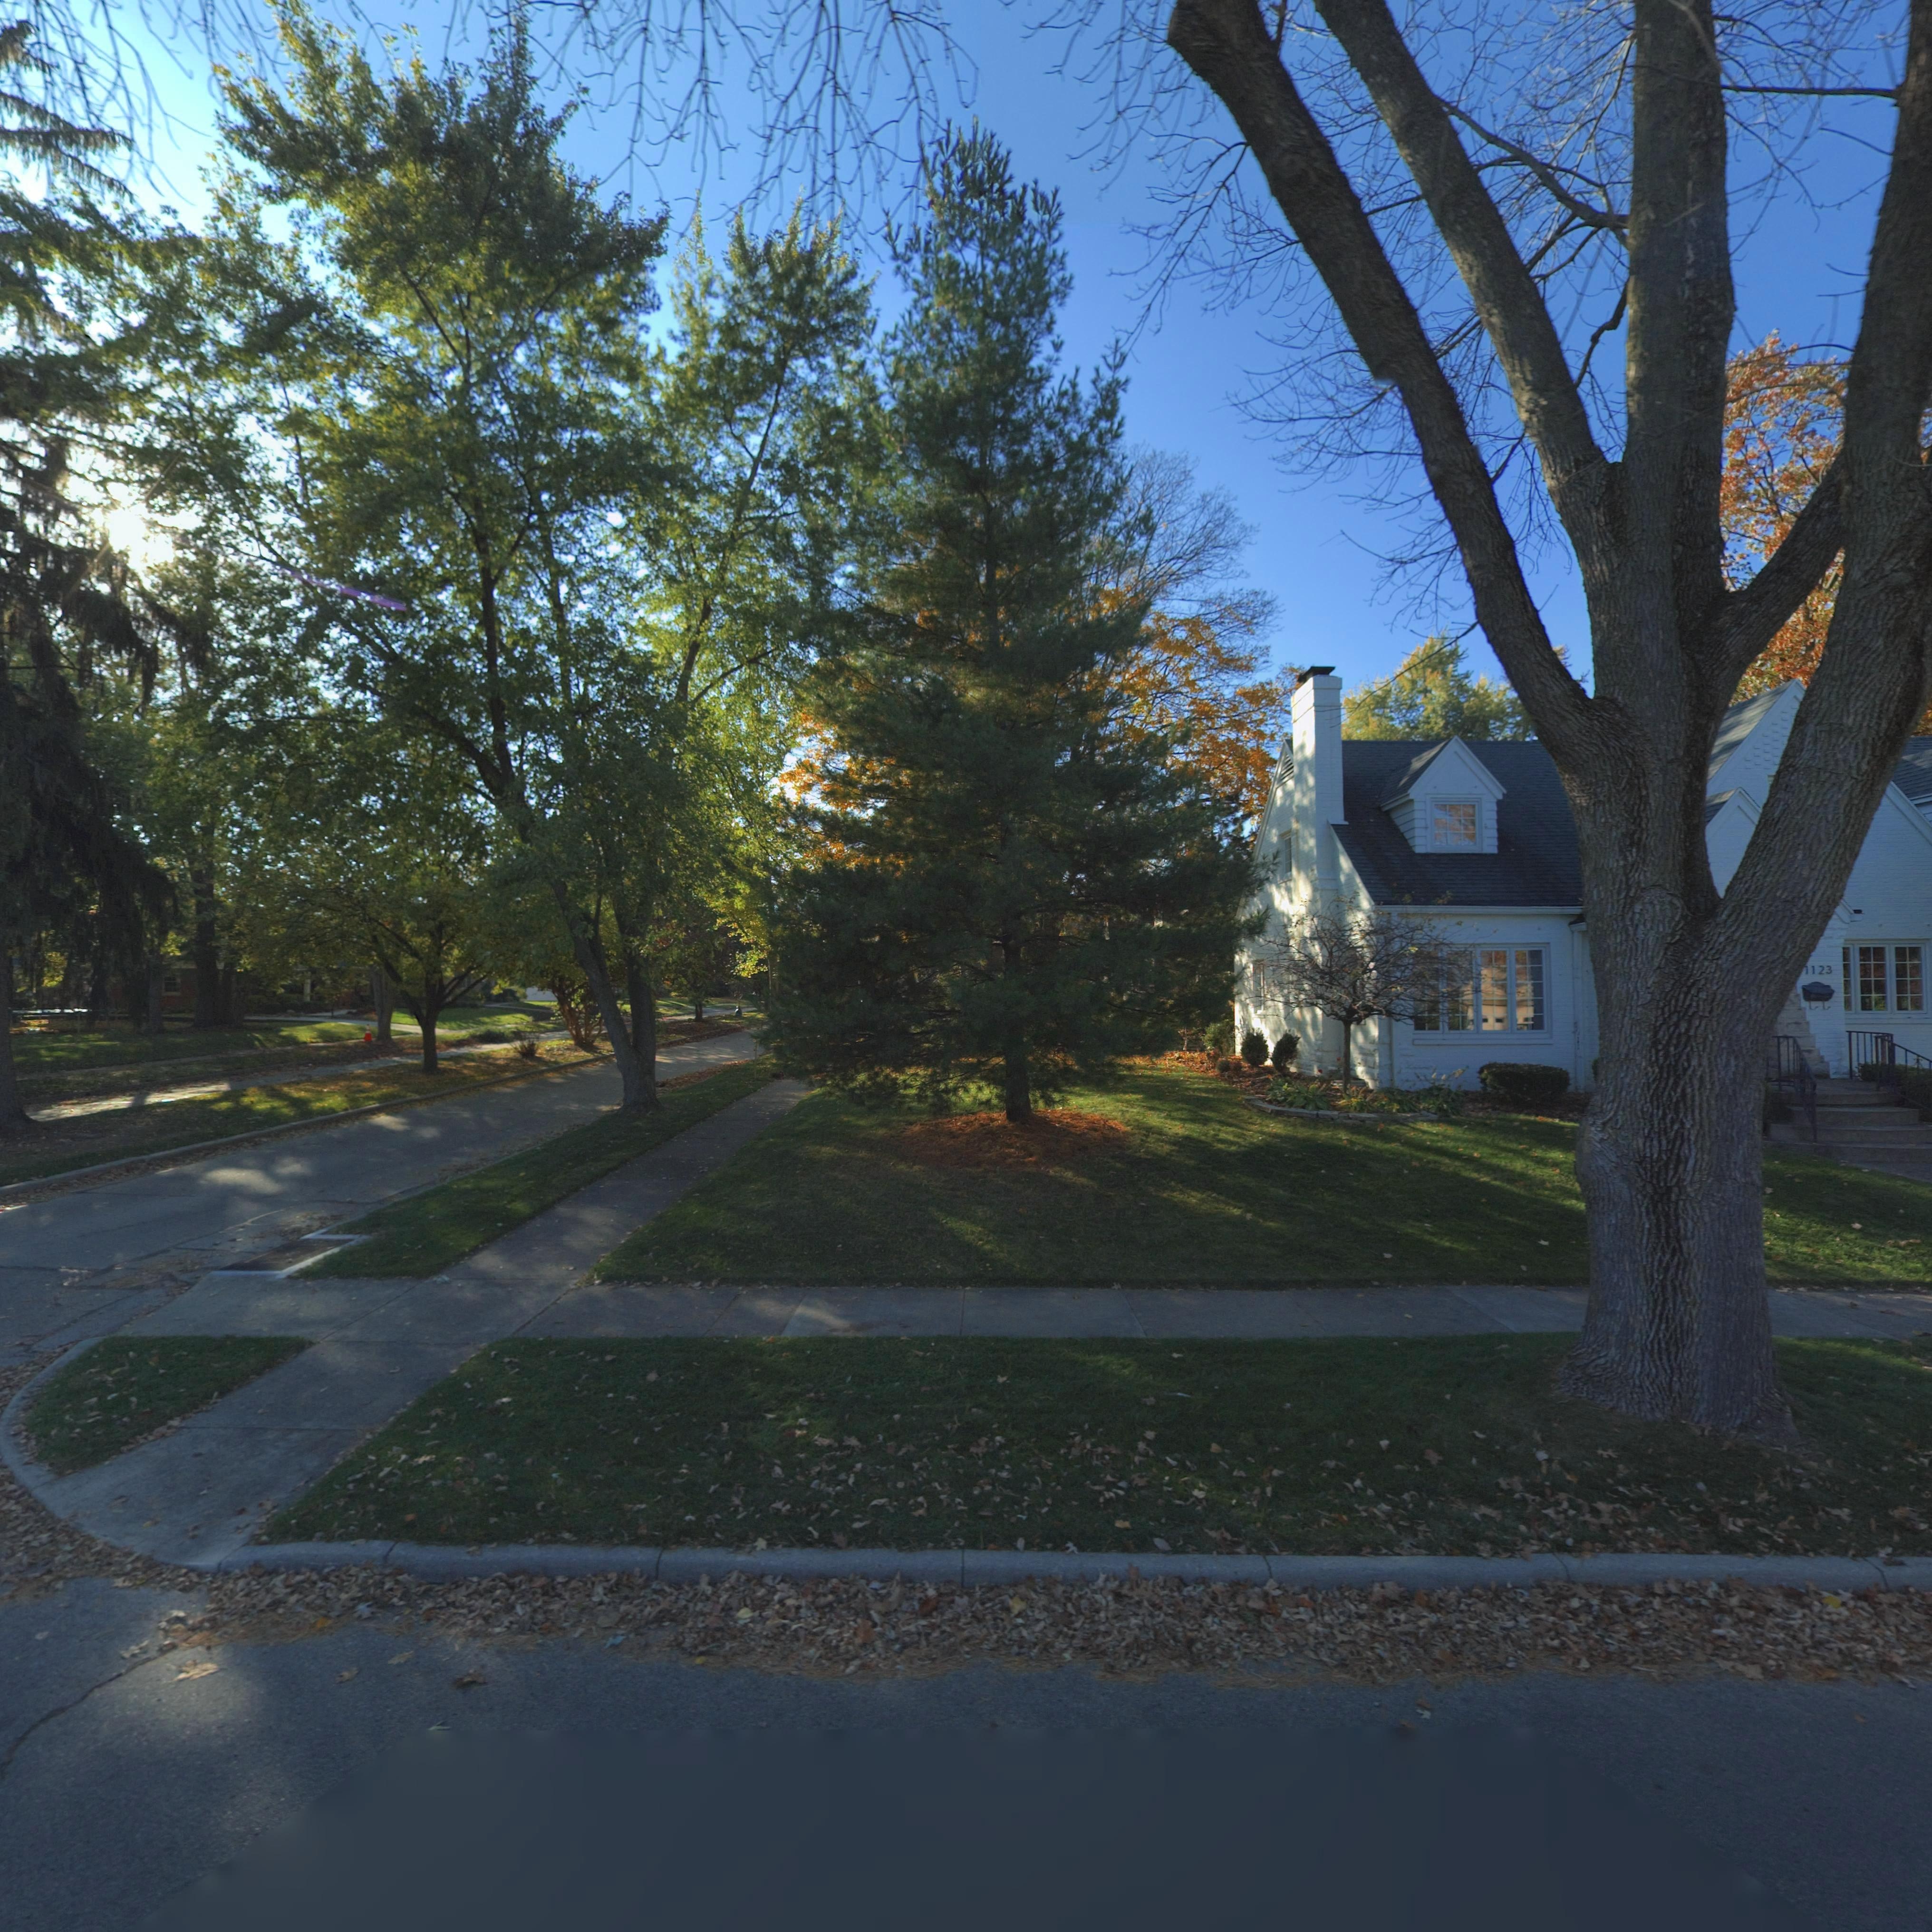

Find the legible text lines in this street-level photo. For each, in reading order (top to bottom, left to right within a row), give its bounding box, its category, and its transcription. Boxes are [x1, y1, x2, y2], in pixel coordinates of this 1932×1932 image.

[1804, 965, 1833, 976] StreetNumber: 1123